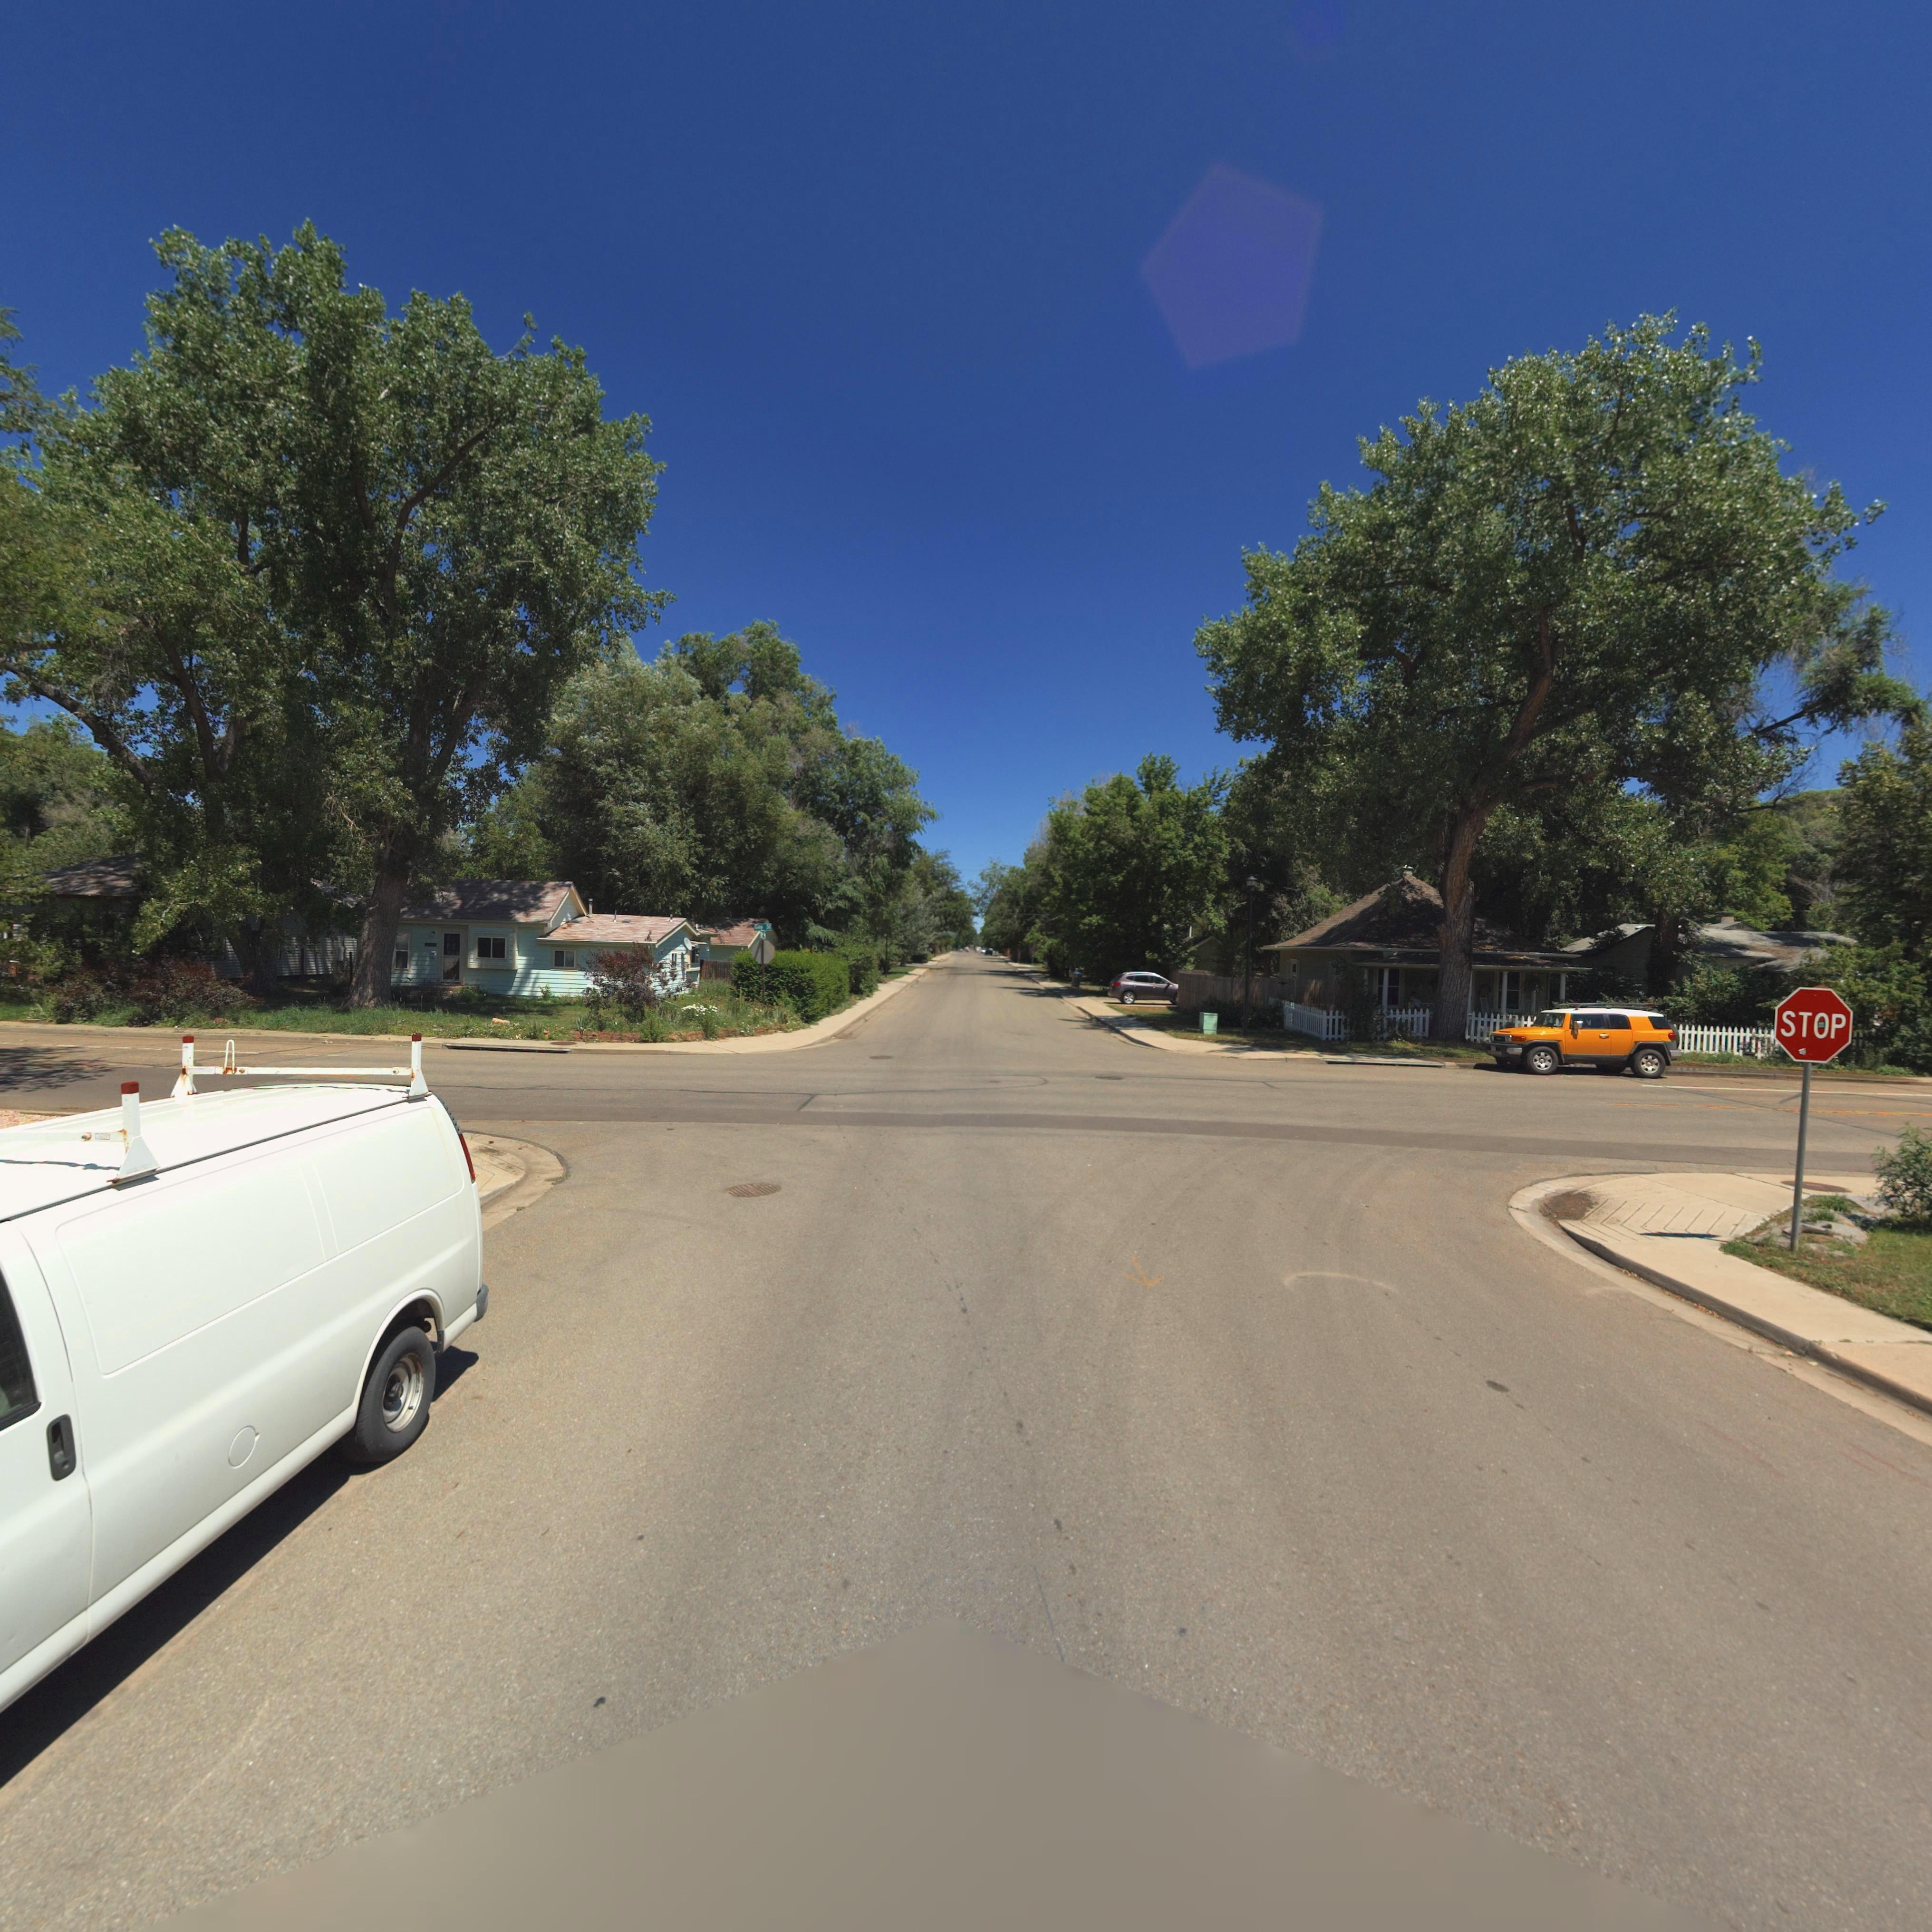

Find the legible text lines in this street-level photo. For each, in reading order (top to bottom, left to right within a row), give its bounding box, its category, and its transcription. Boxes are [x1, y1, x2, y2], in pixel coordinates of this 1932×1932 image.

[754, 923, 772, 930] StreetName: G*y S*